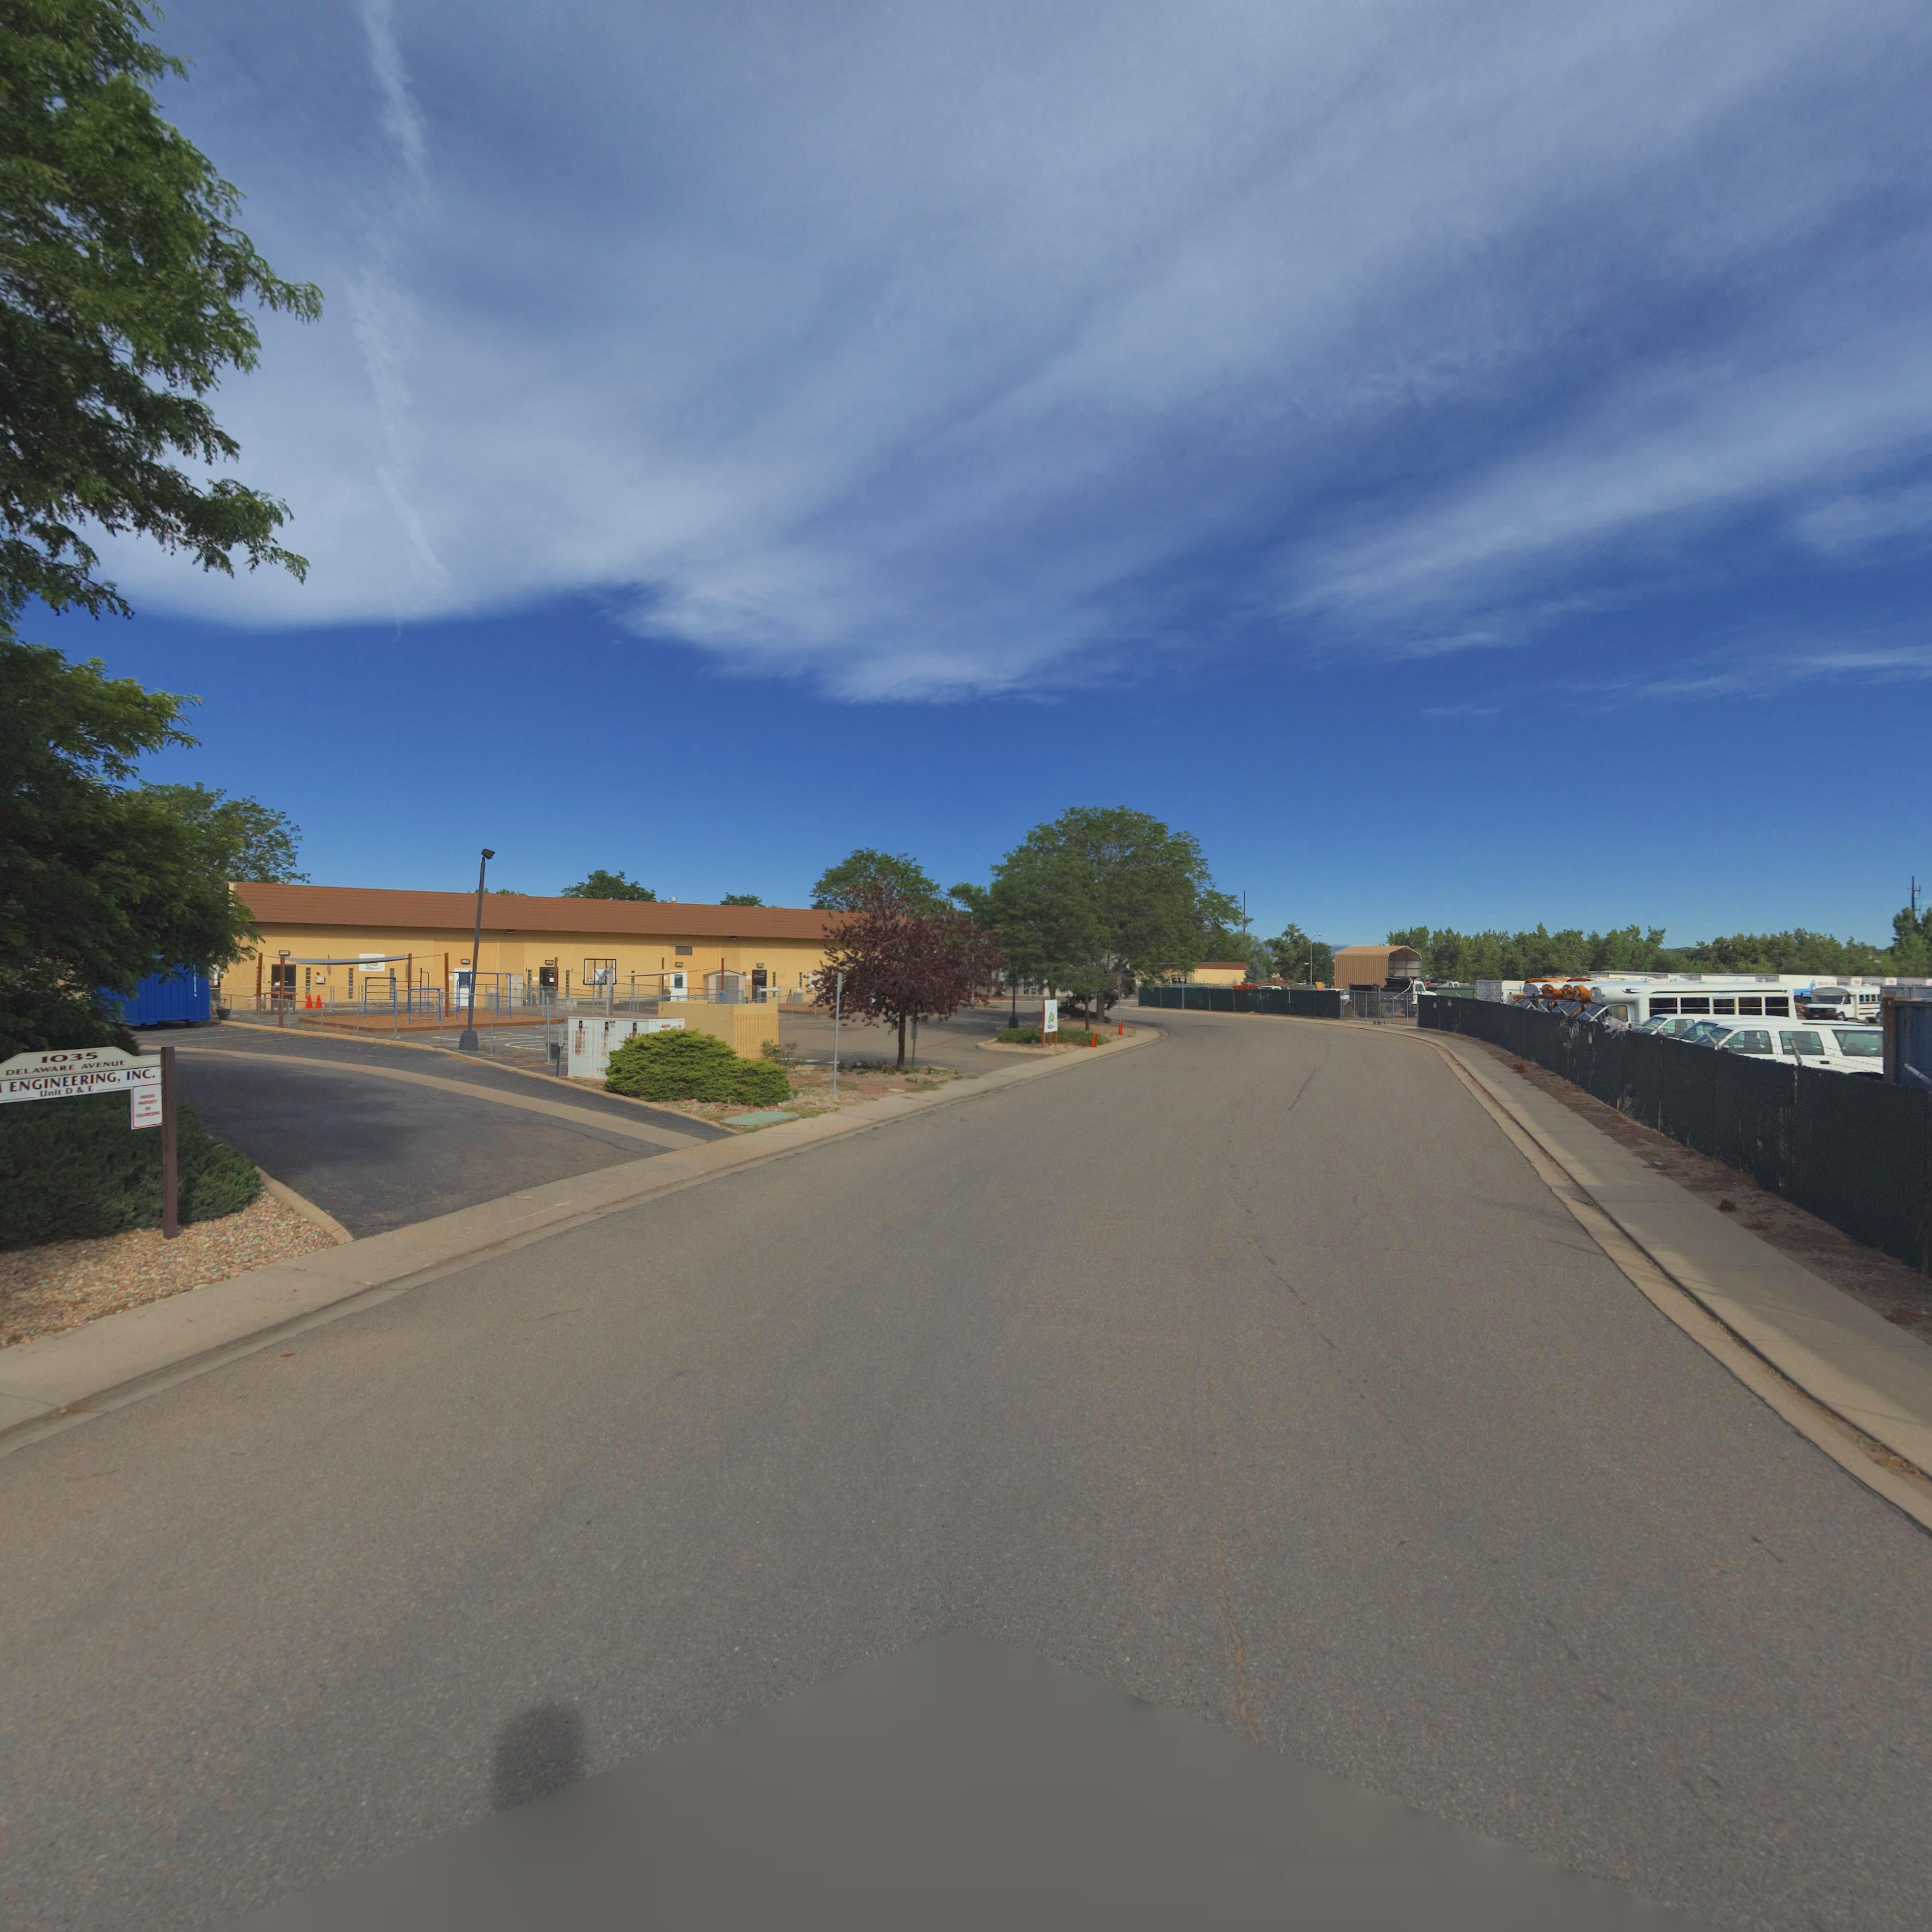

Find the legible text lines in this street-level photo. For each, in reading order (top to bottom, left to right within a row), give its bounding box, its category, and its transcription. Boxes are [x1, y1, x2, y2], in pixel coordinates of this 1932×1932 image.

[41, 1052, 98, 1064] StreetNumber: 1035
[6, 1060, 125, 1076] StreetName: DELAWARE AVENUE
[10, 1068, 156, 1092] BusinessName: ENGINEERING, INC.
[39, 1085, 94, 1097] SecondaryUnitDesignator: Unit D & E